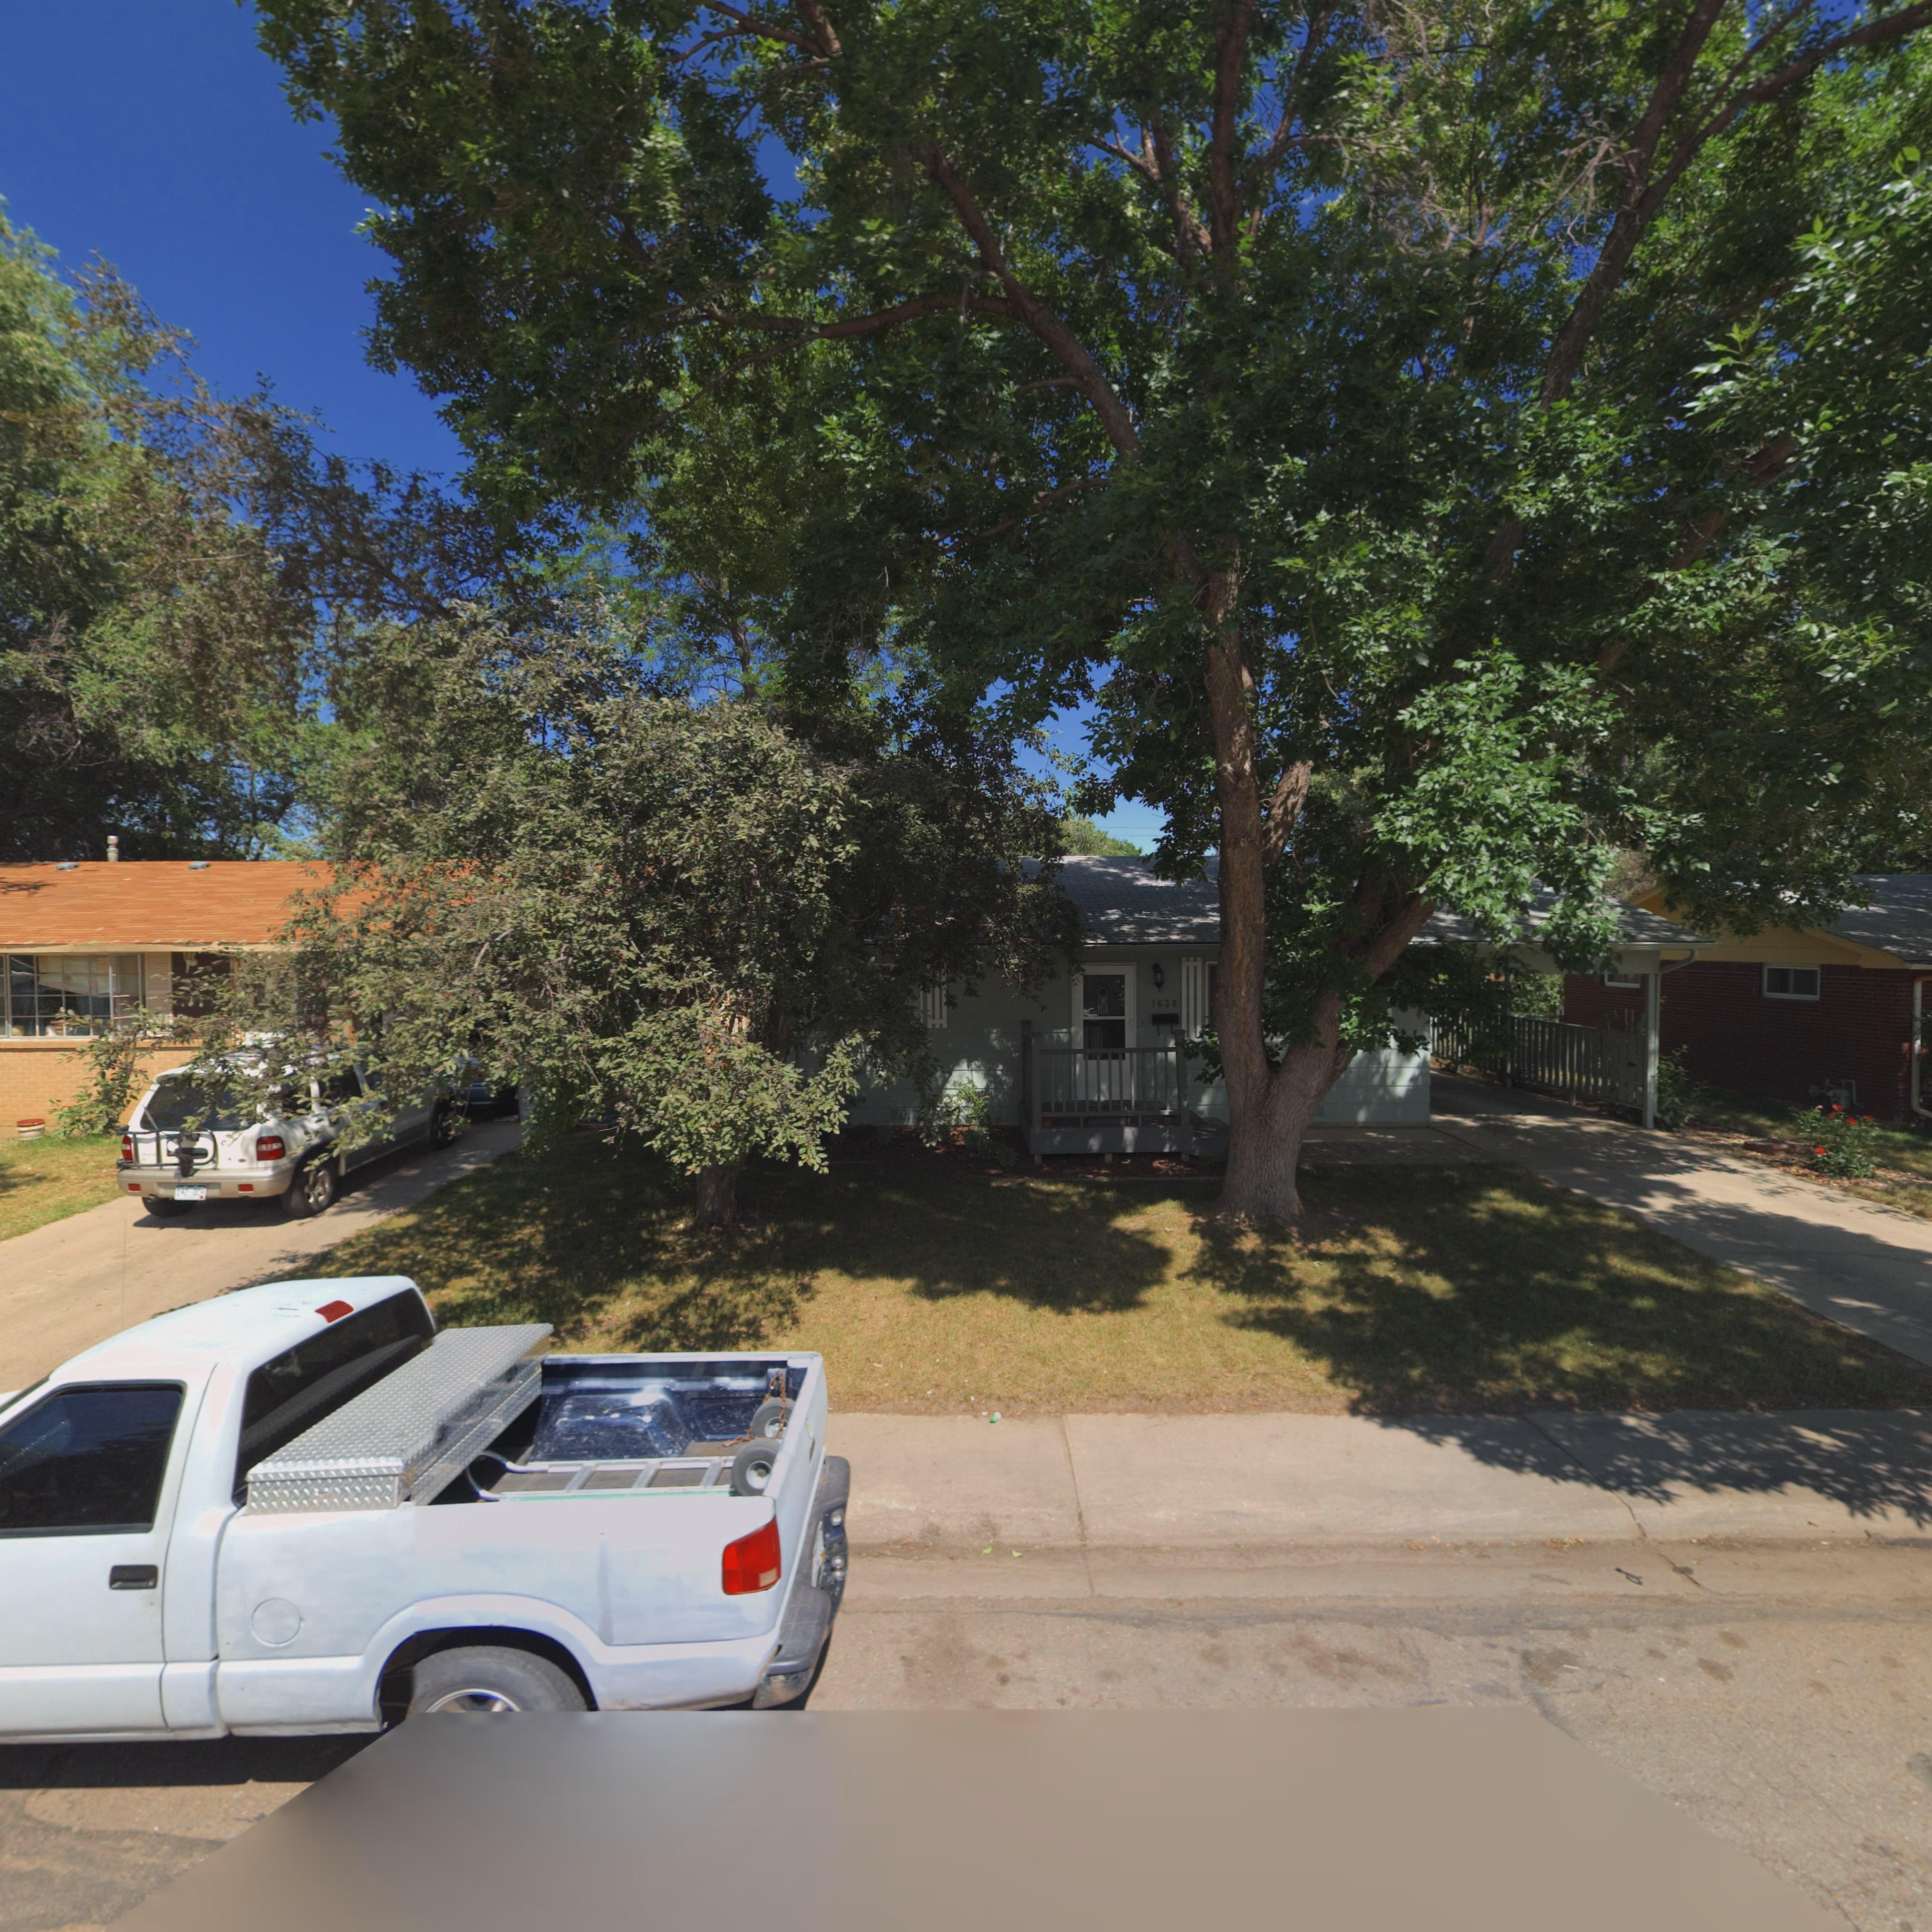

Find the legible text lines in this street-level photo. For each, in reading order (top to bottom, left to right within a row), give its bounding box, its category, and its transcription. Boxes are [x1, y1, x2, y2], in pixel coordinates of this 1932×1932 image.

[1151, 999, 1176, 1007] StreetNumber: 1638